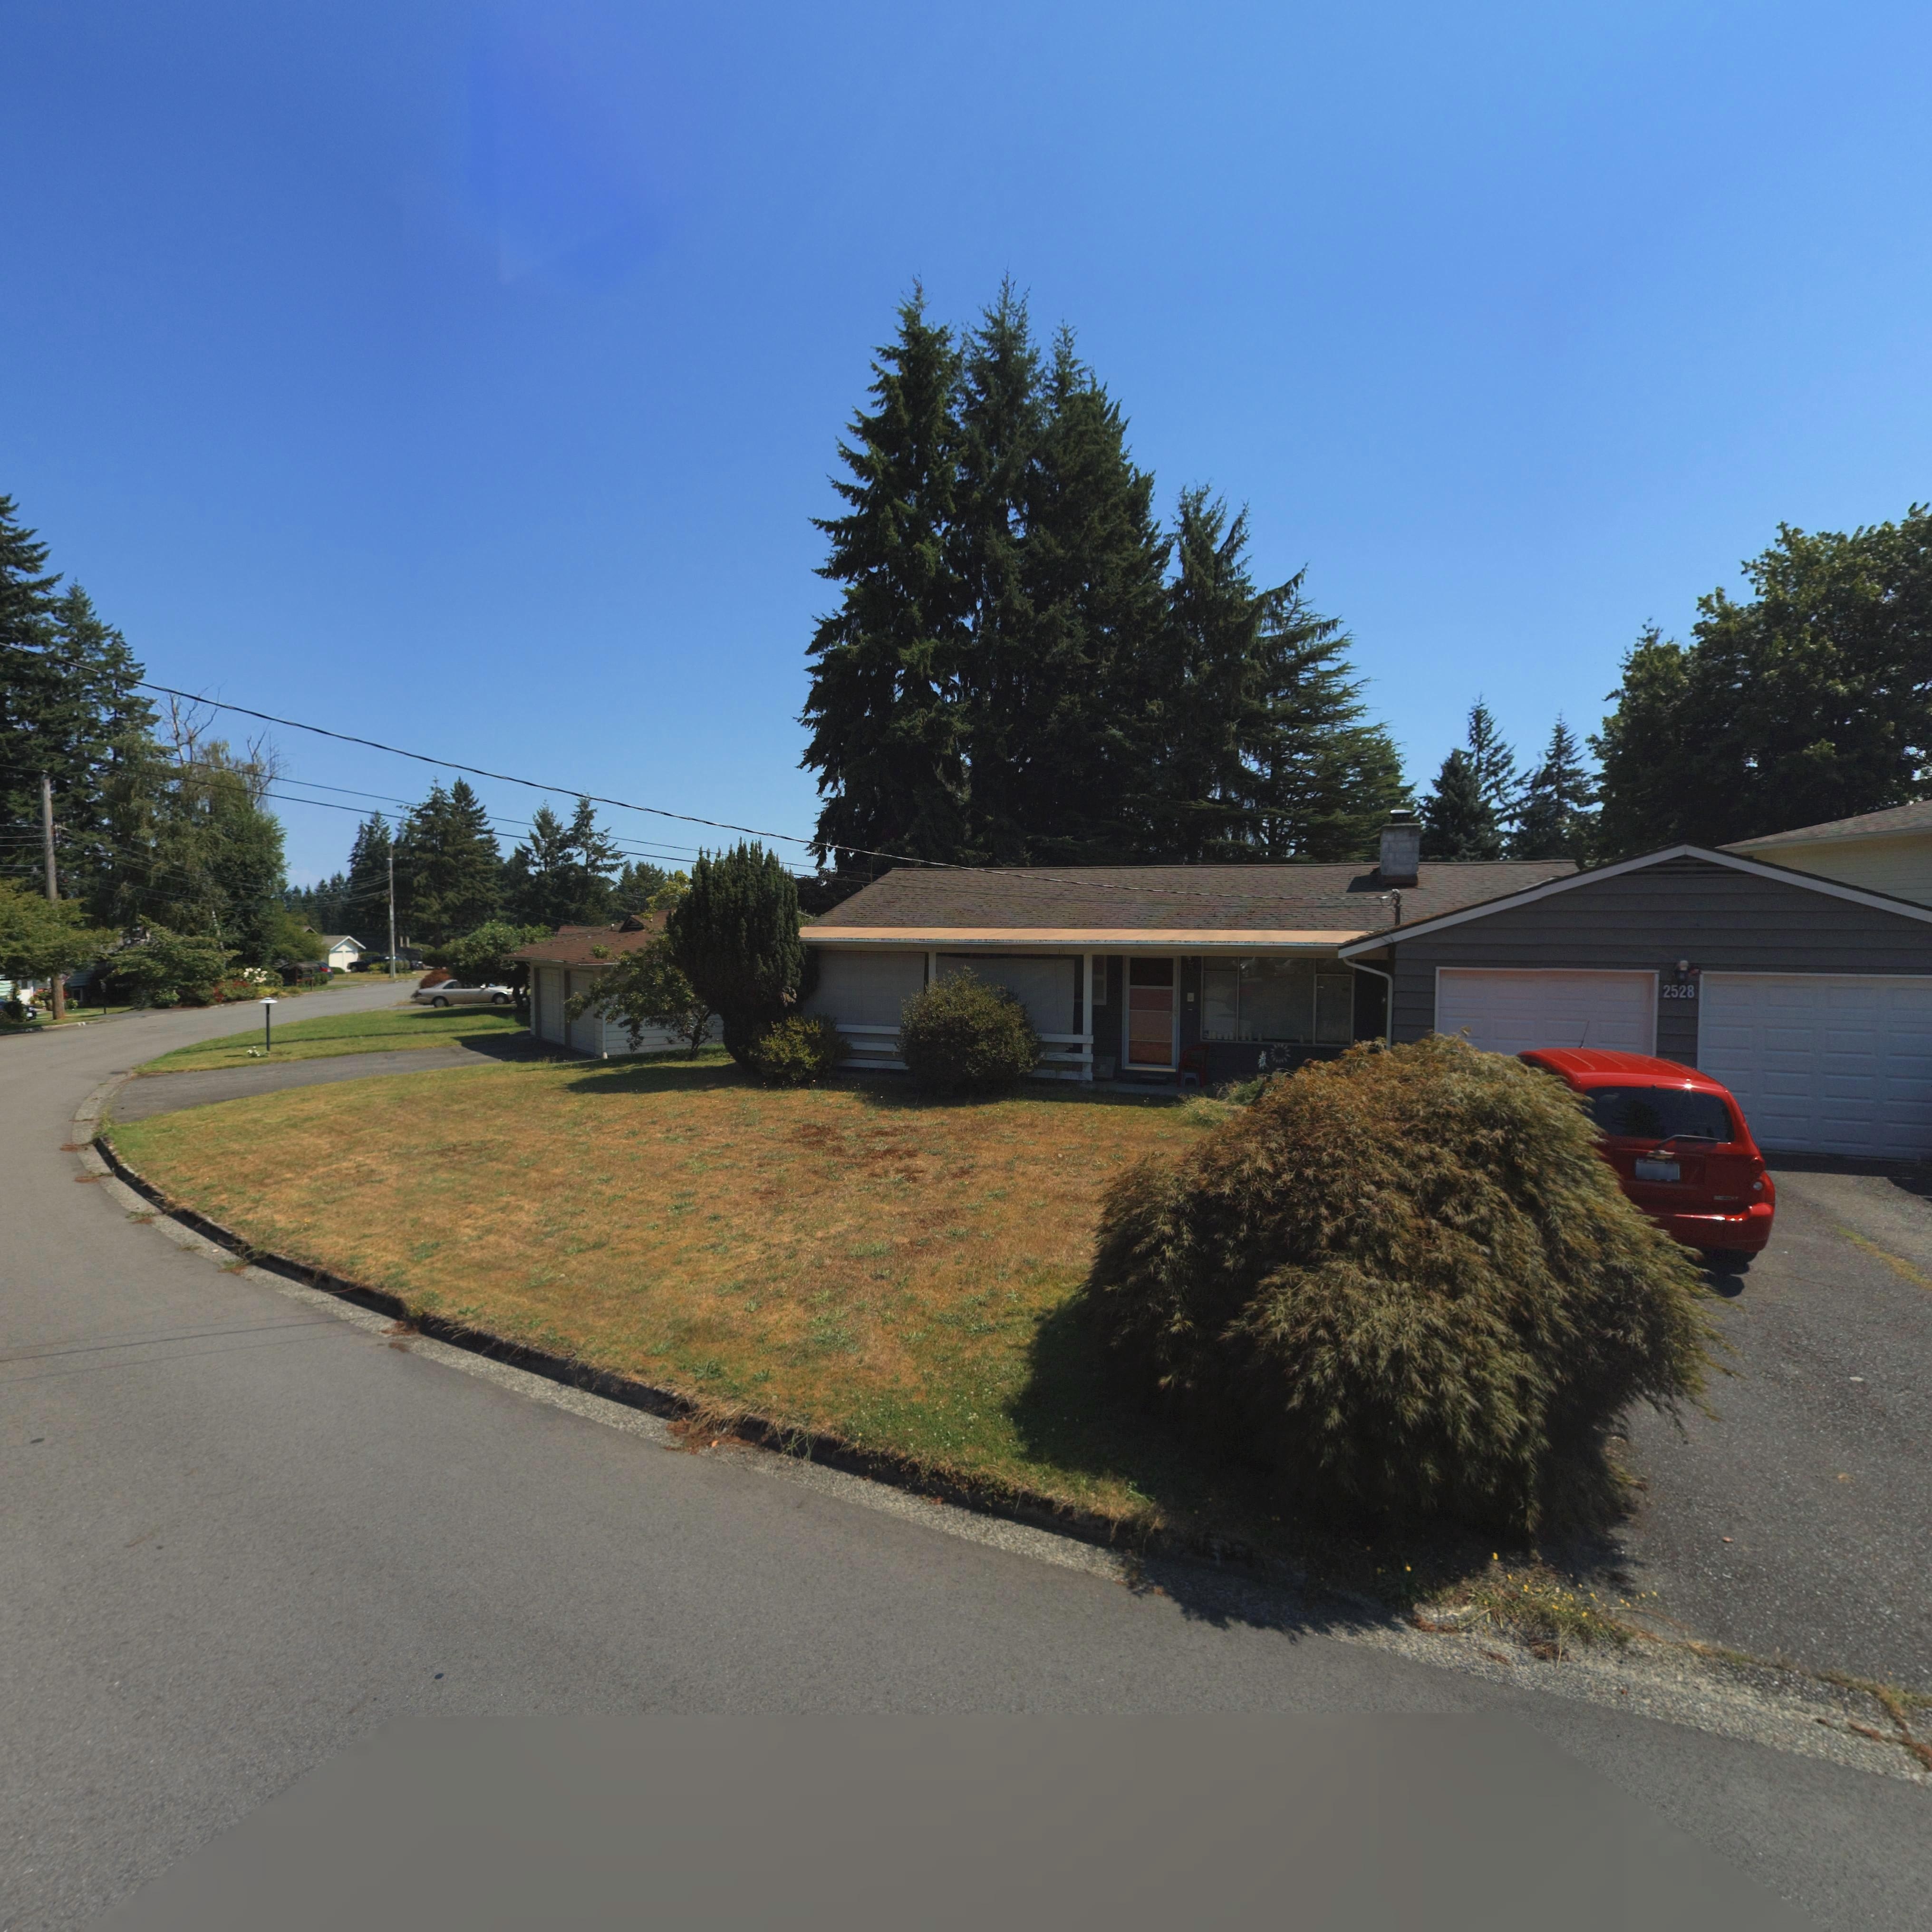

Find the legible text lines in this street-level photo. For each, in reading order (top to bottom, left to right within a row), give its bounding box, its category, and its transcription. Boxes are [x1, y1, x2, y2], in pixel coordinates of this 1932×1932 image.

[1662, 984, 1695, 998] StreetNumber: 2528